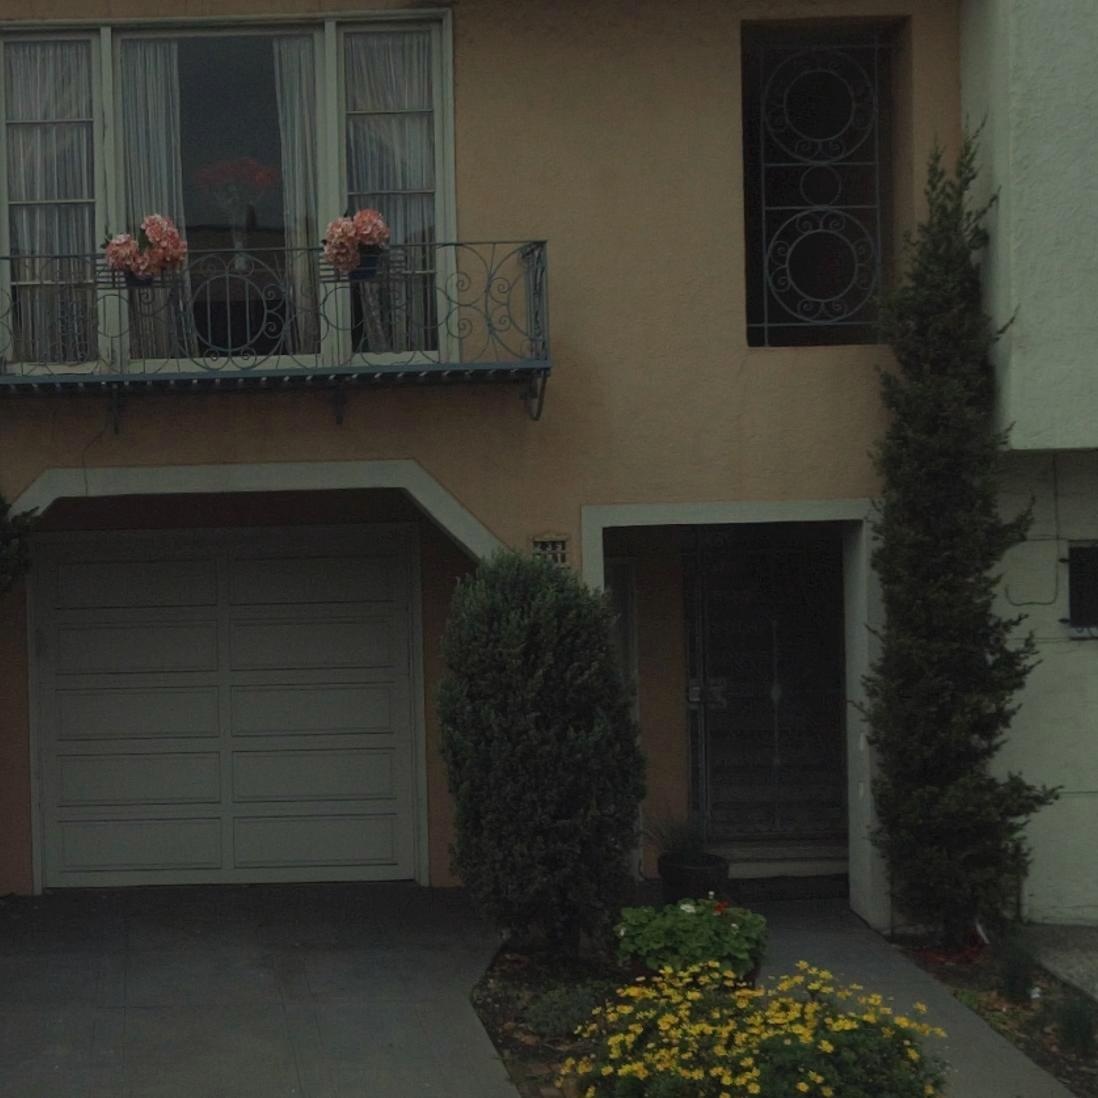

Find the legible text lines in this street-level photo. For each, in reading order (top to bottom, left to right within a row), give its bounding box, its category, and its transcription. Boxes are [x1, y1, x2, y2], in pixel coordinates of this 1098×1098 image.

[534, 540, 564, 551] StreetNumber: 239
[534, 551, 565, 566] StreetNumber: **1